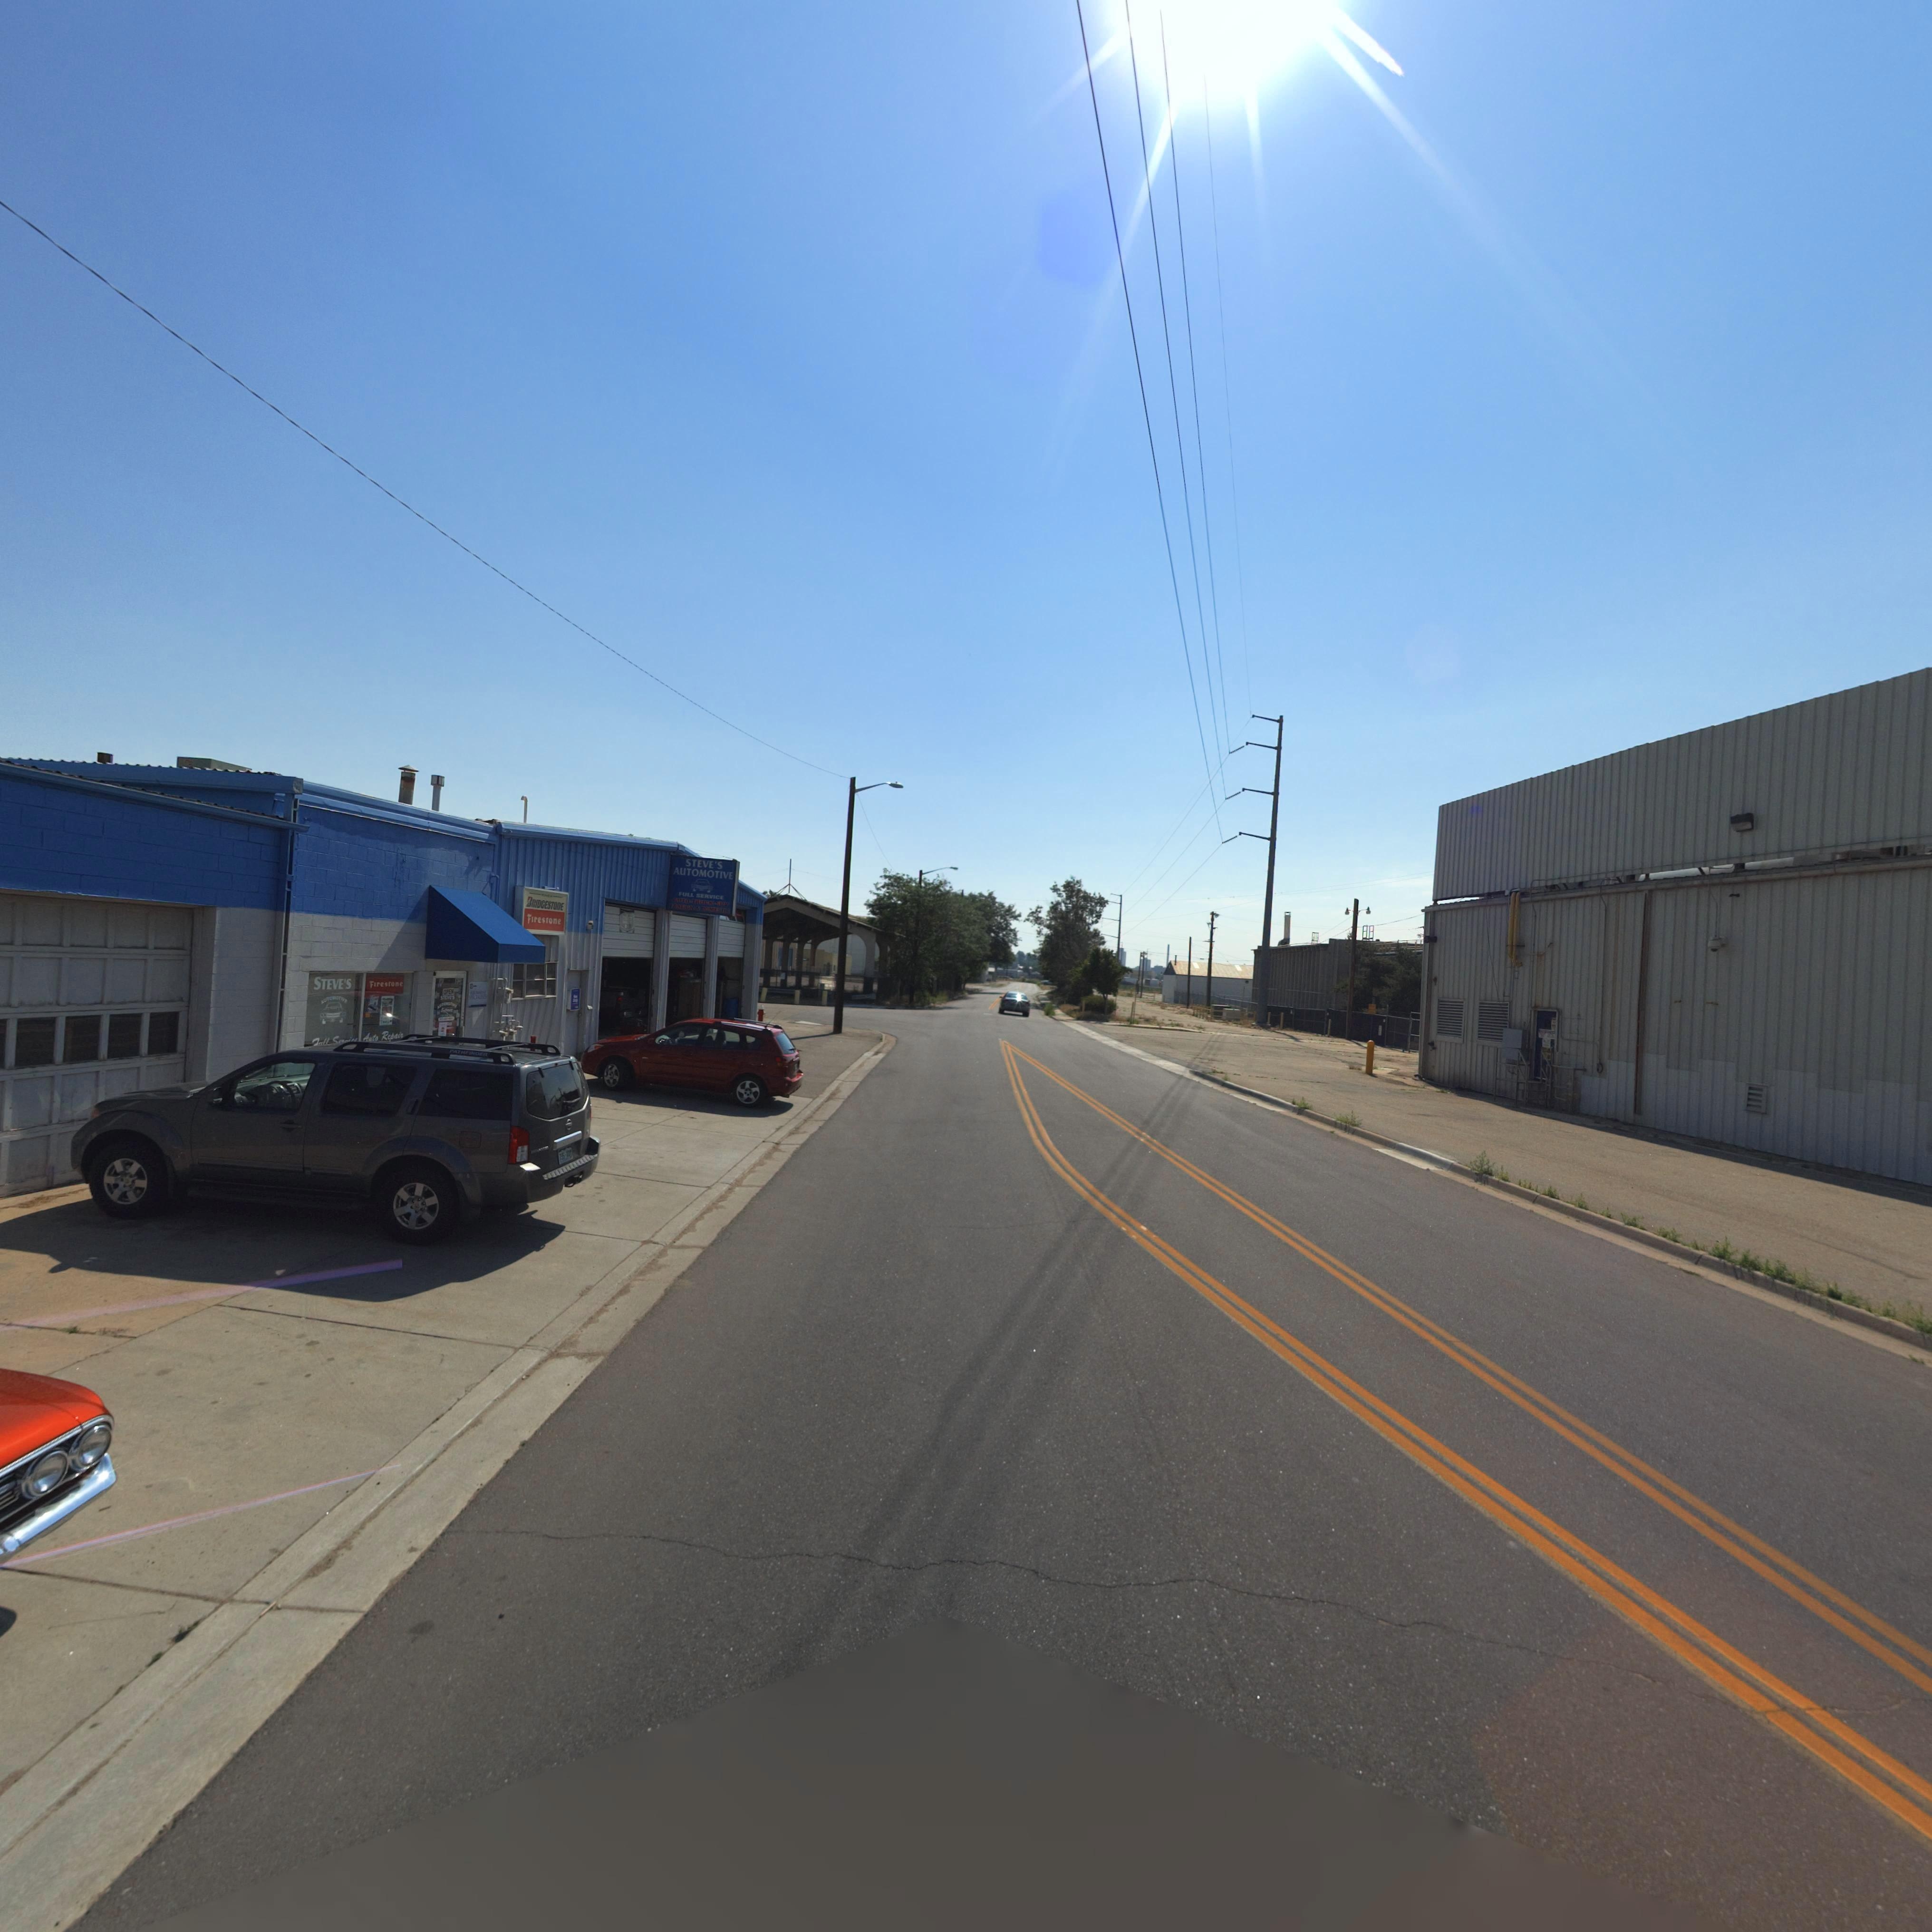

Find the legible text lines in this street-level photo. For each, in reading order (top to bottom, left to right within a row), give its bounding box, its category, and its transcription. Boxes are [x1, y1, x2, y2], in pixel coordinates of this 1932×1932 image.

[685, 858, 724, 870] BusinessName: STEVE'S
[672, 866, 734, 880] BusinessName: AUTOMOTIVE
[313, 976, 352, 991] BusinessName: STEVE'S
[320, 995, 348, 1005] BusinessName: AUTO**TIVE
[440, 995, 455, 1000] BusinessName: STEVE'S
[437, 1001, 458, 1009] BusinessName: A***M***VE